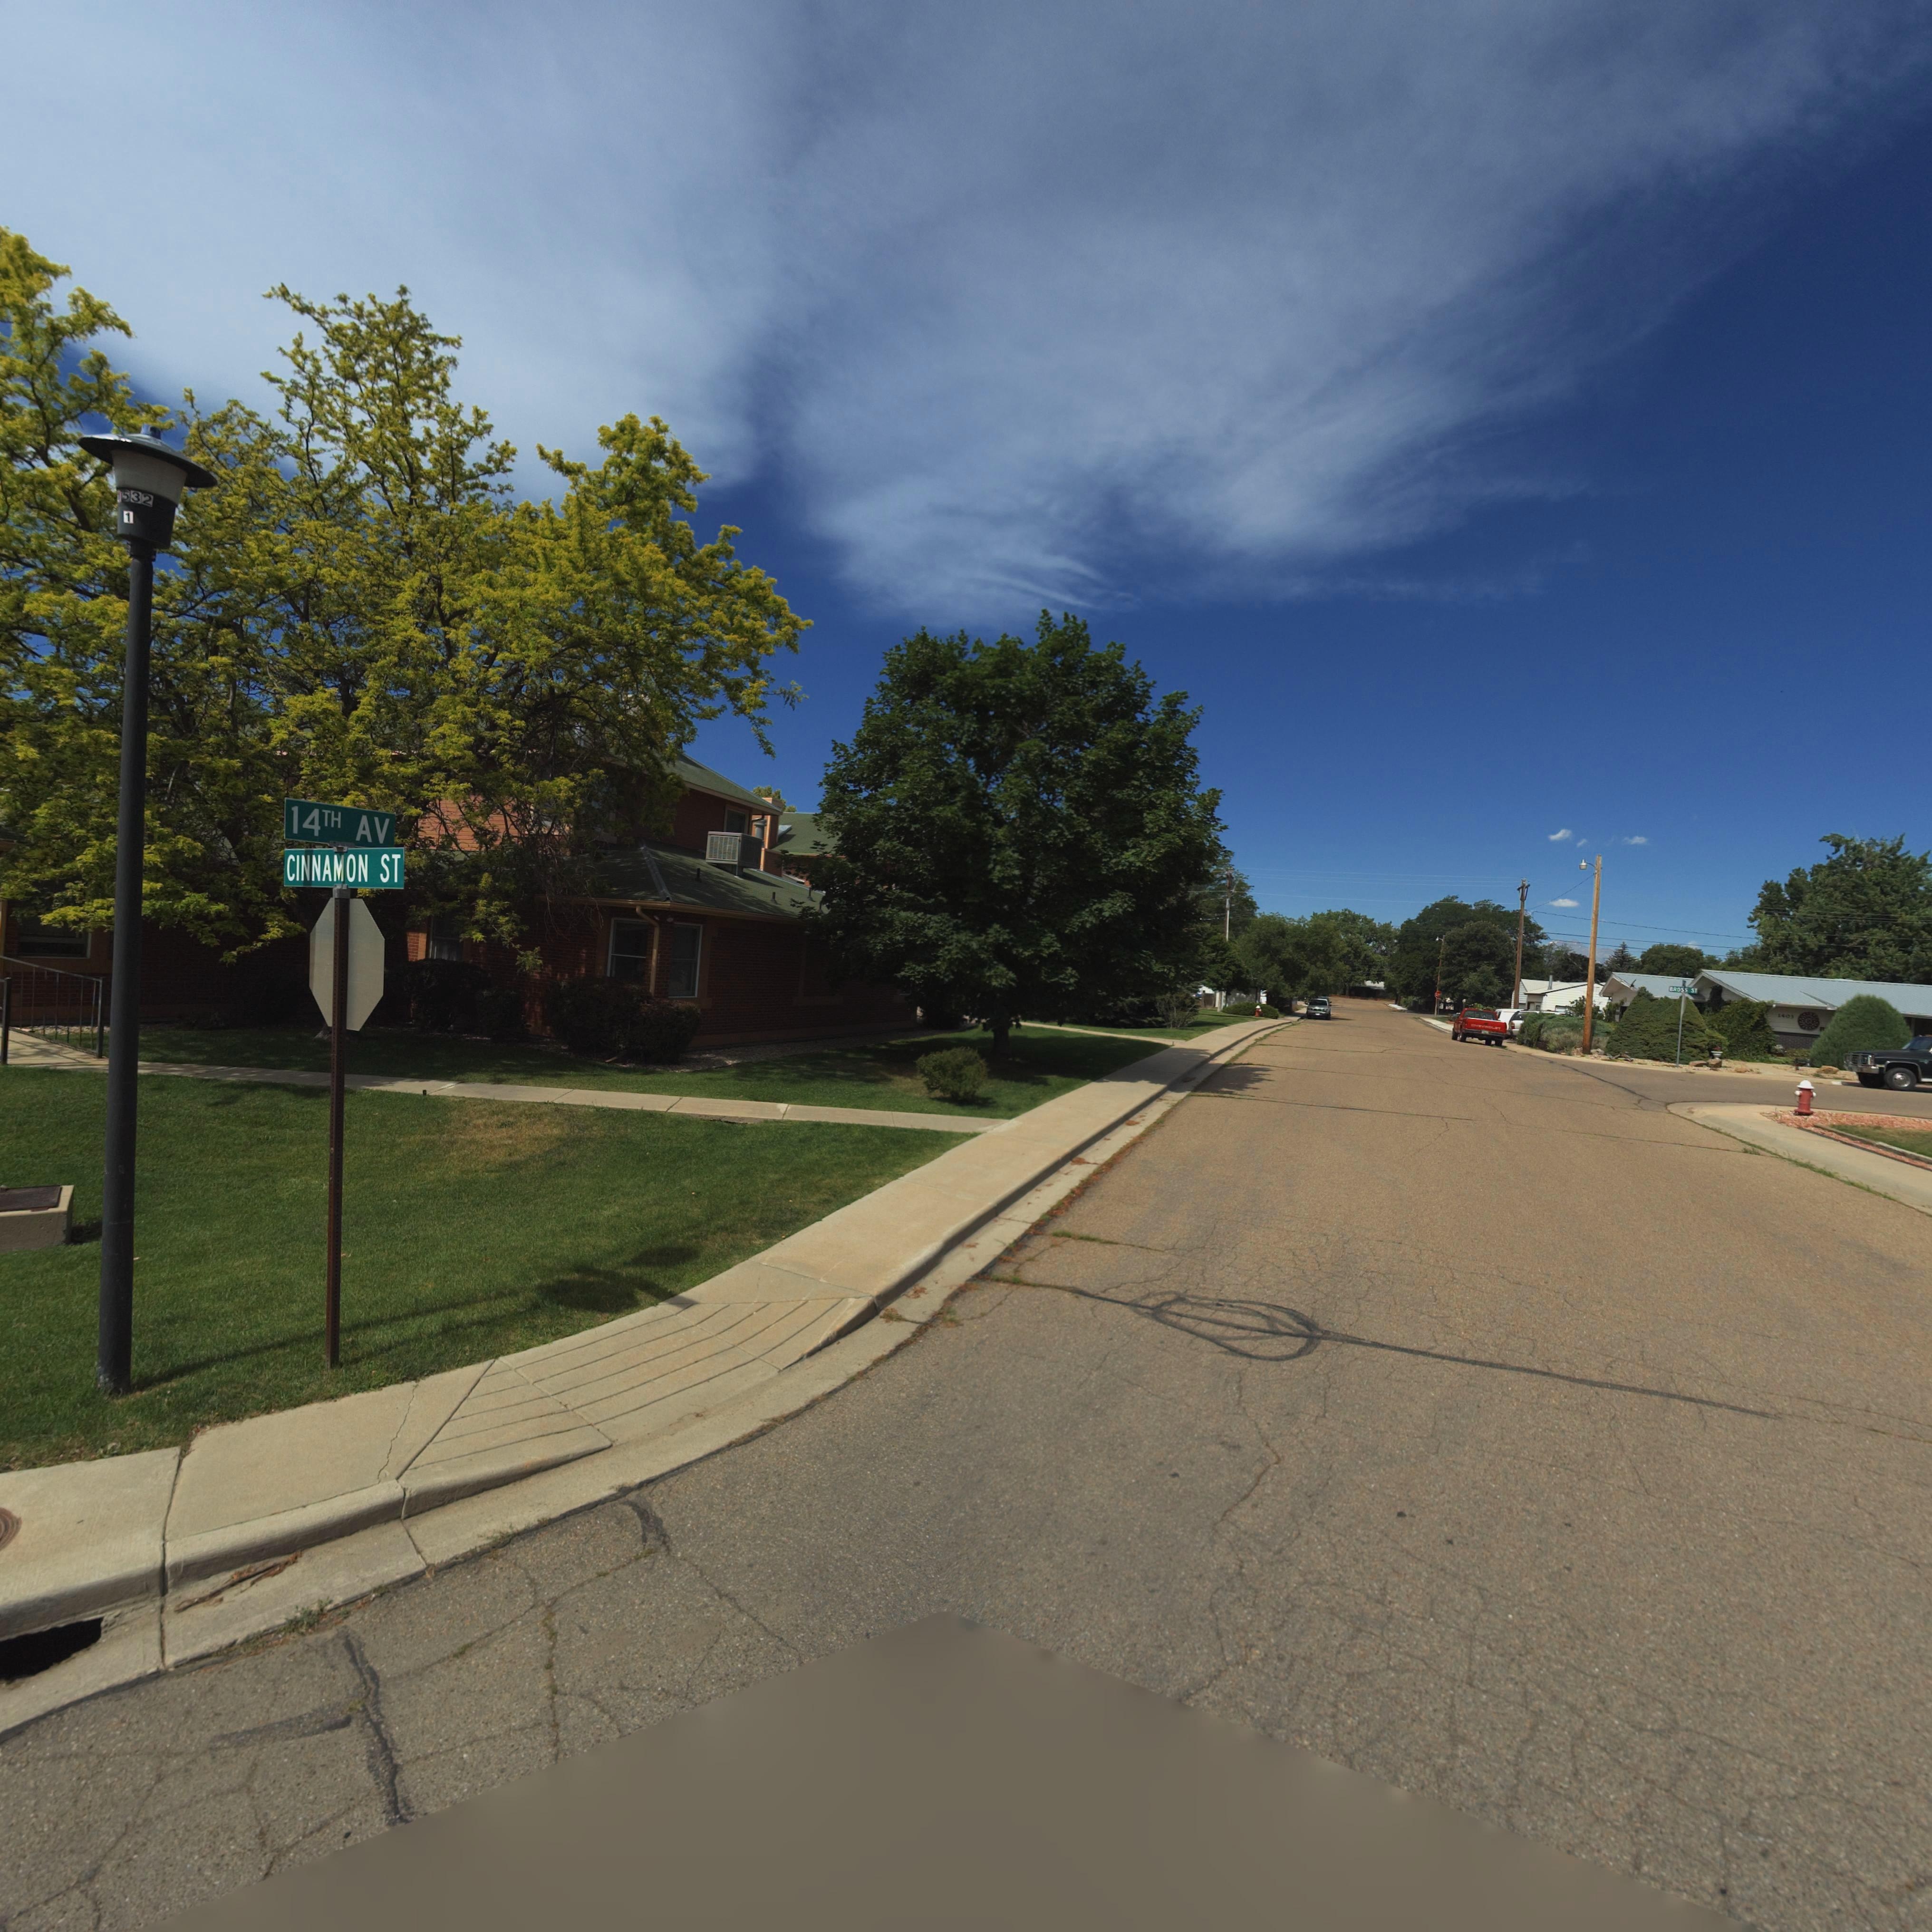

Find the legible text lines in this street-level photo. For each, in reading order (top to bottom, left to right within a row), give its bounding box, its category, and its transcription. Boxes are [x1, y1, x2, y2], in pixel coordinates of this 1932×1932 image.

[290, 804, 391, 844] StreetName: 14TH AV
[286, 853, 401, 883] StreetName: CINNAMON ST
[1669, 986, 1698, 994] StreetName: BROSS ST
[1777, 1013, 1794, 1019] StreetNumber: 1403